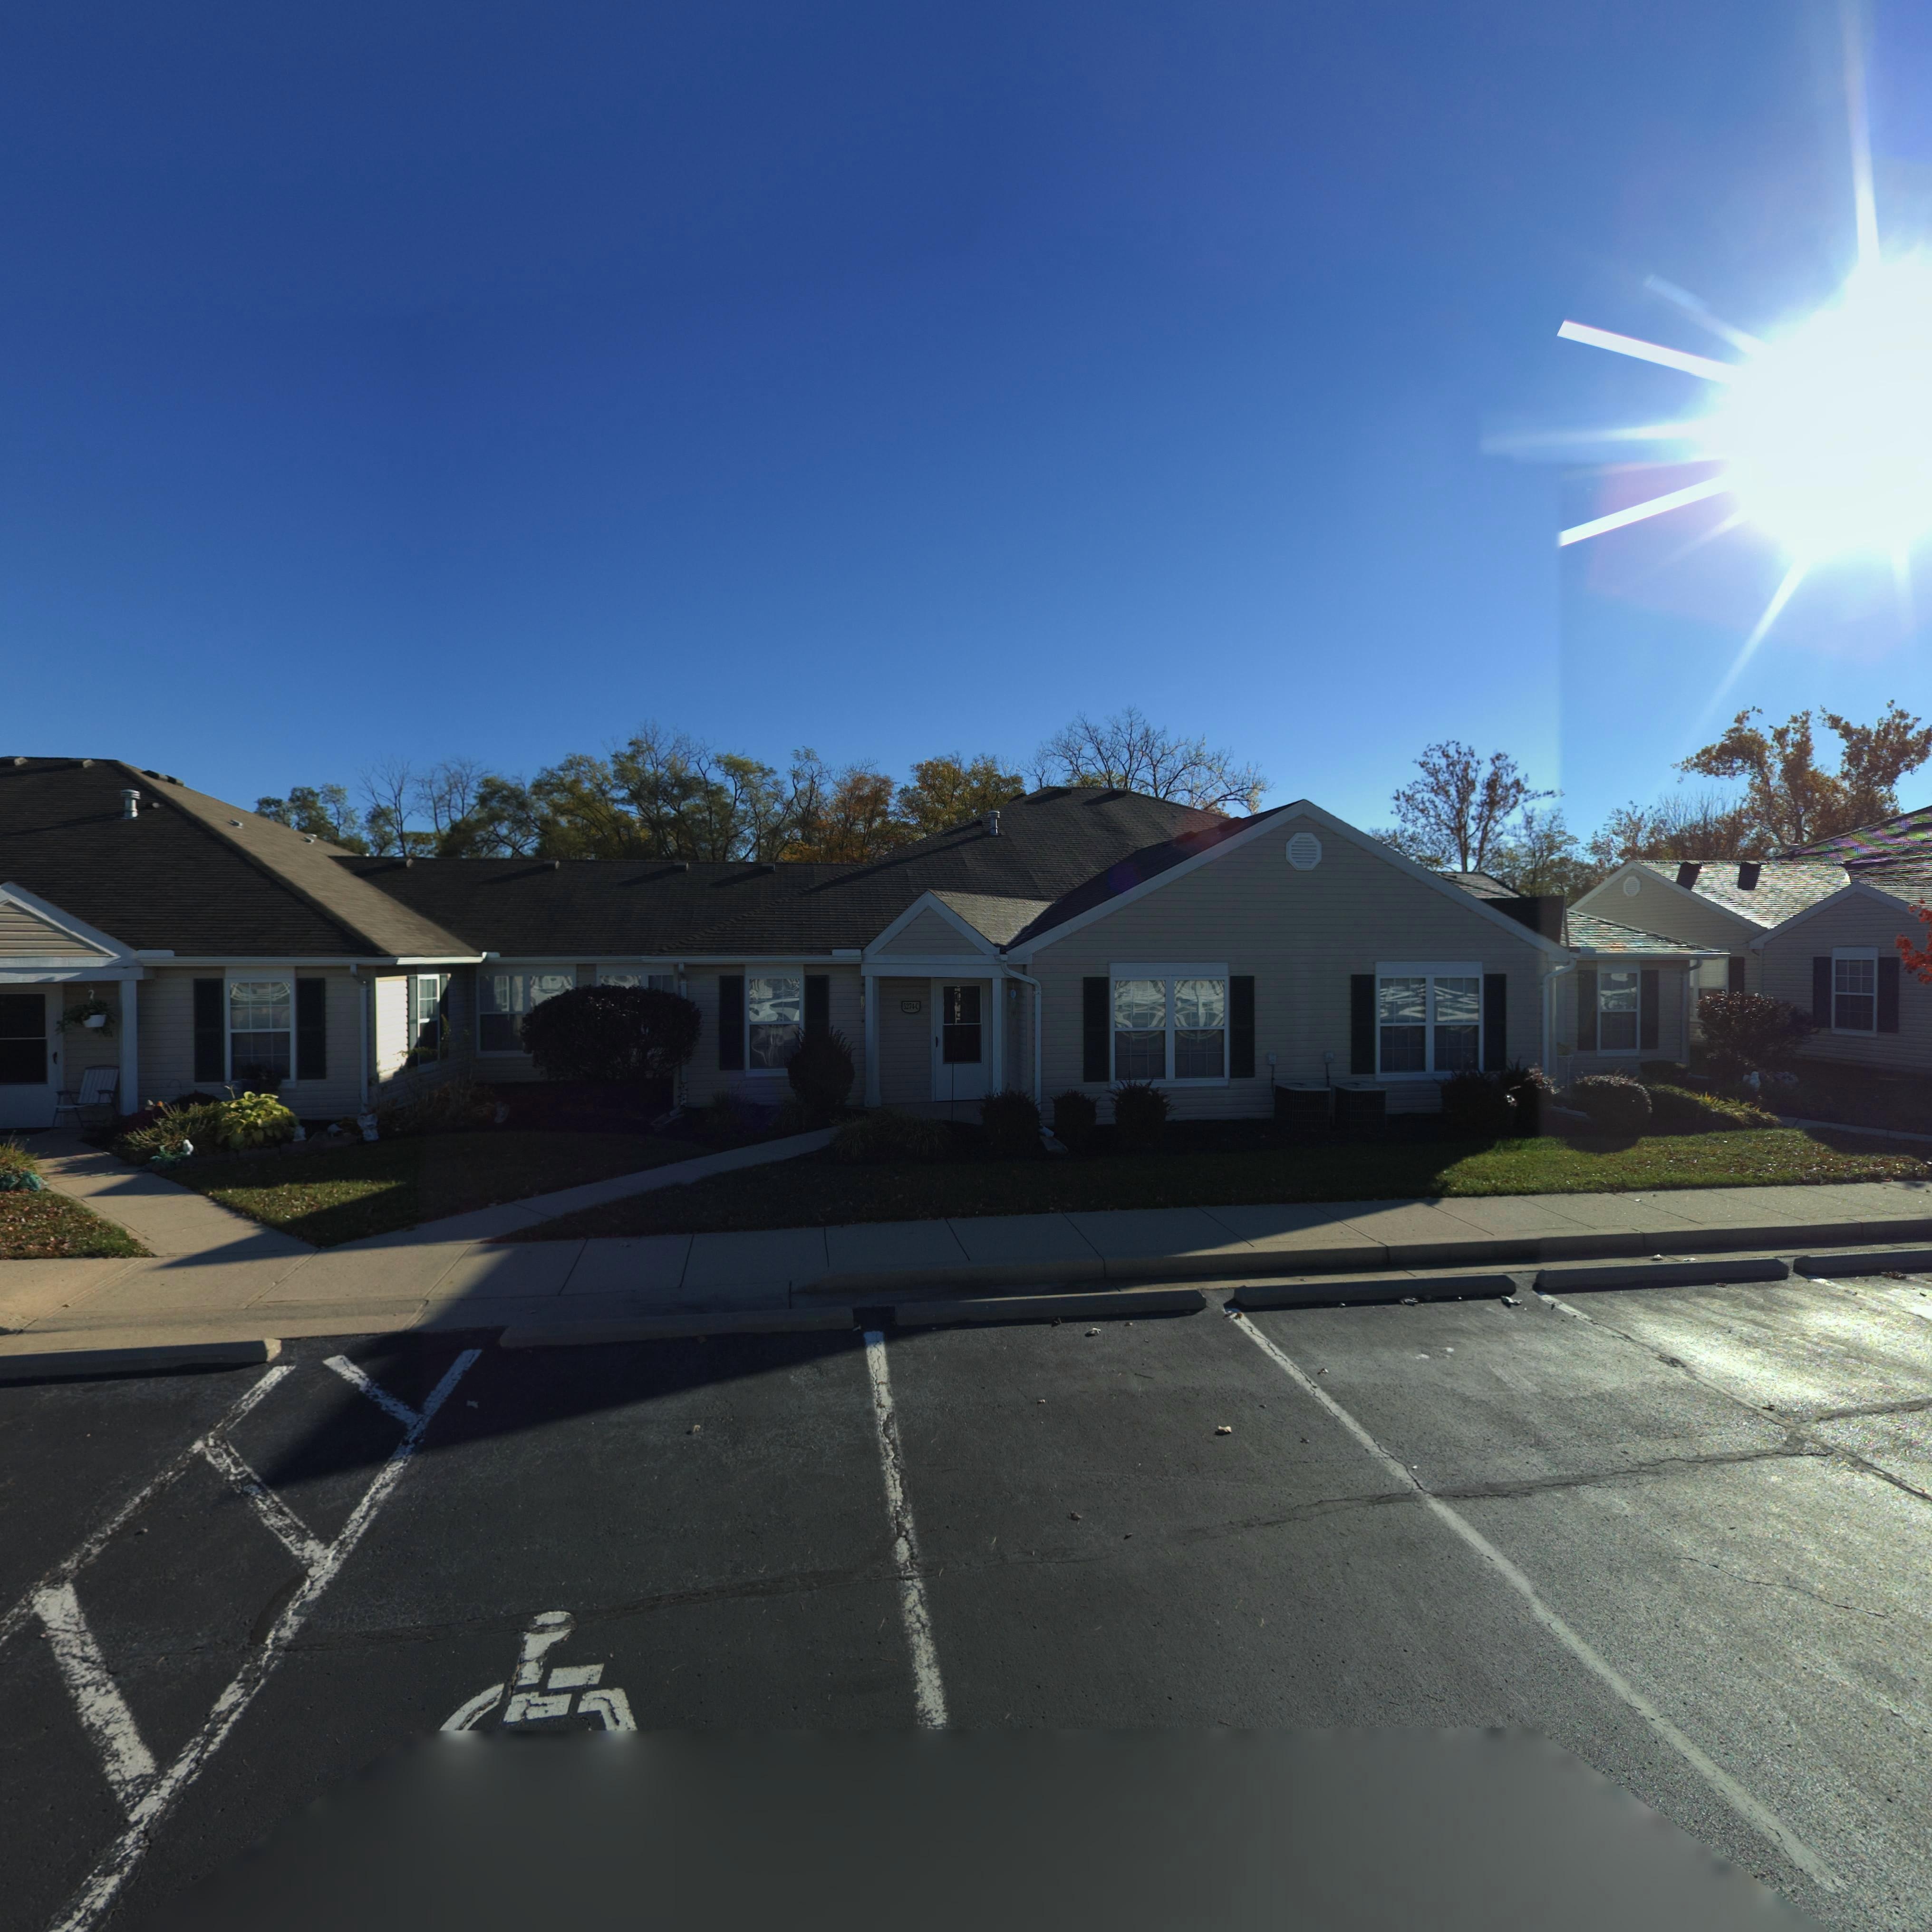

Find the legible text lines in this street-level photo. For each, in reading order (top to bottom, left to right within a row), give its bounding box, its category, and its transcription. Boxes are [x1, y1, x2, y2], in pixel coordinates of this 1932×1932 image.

[903, 1002, 919, 1011] StreetNumber: 5274-C